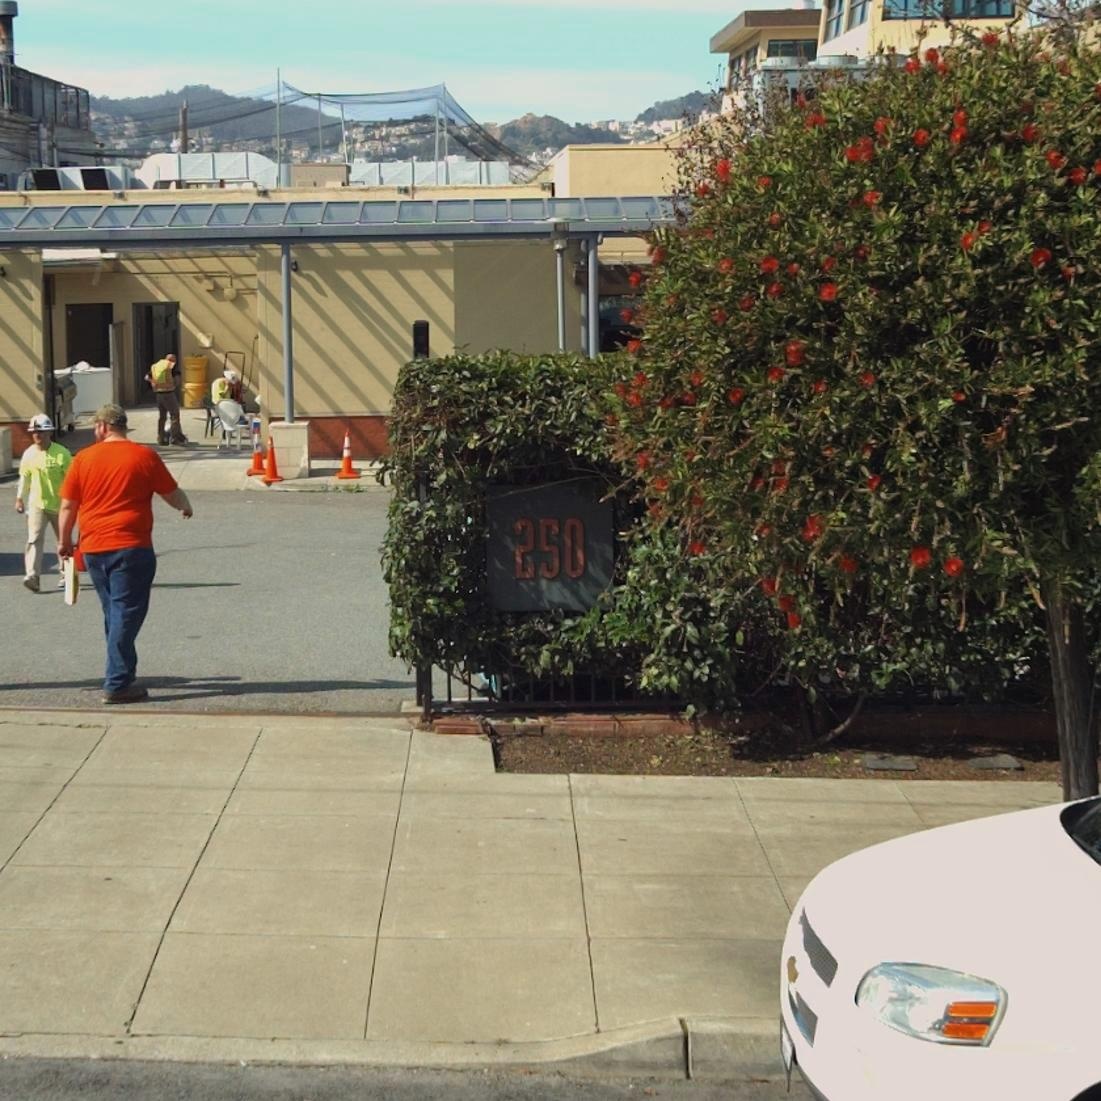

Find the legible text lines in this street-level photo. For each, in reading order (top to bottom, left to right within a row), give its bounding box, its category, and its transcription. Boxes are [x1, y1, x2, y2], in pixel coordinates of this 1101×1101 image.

[508, 514, 591, 584] StreetNumber: 250